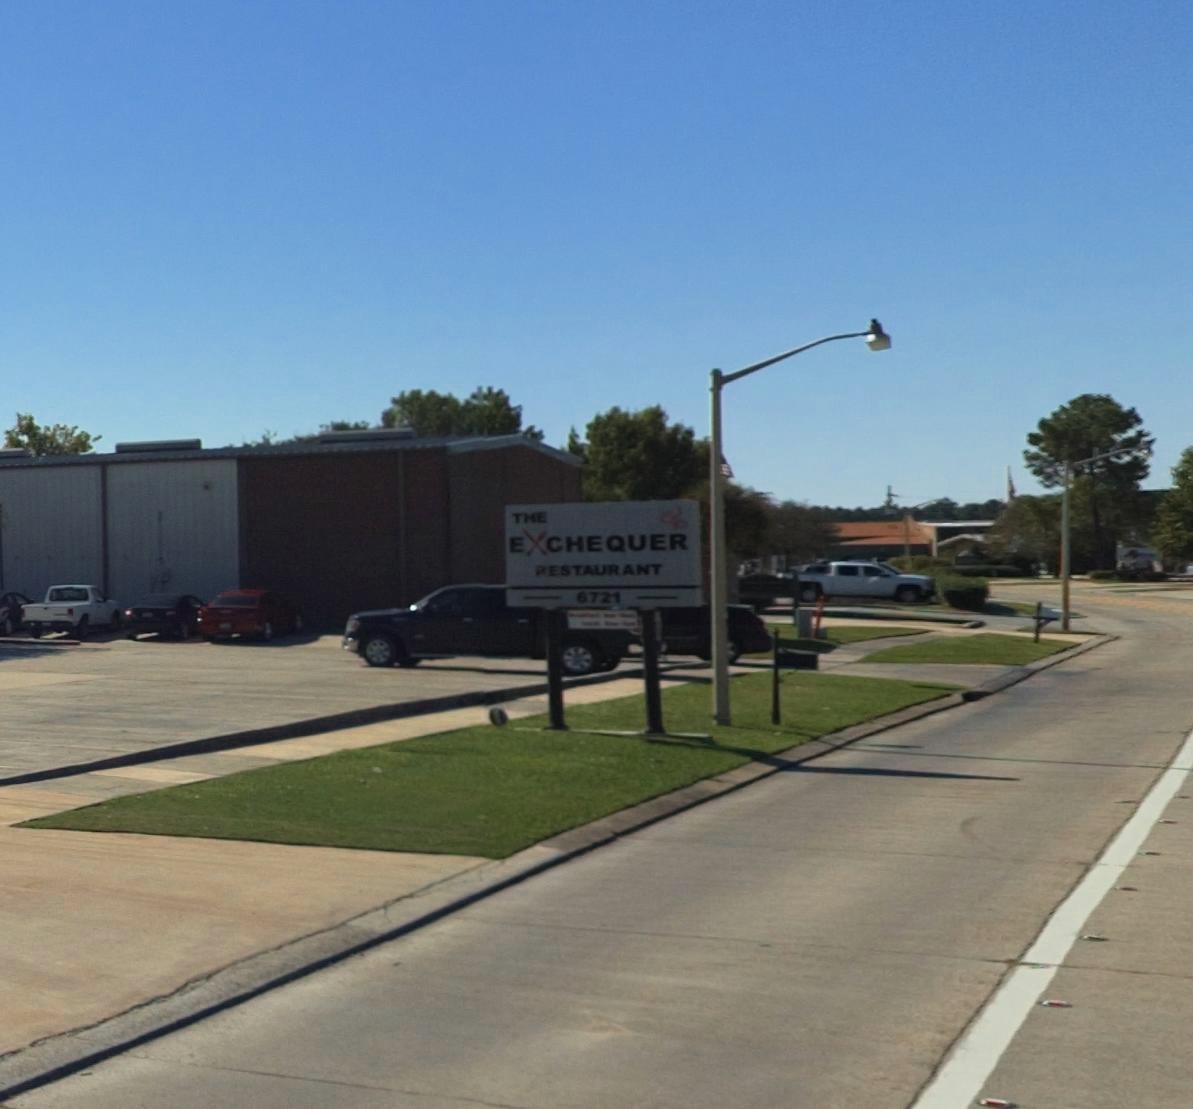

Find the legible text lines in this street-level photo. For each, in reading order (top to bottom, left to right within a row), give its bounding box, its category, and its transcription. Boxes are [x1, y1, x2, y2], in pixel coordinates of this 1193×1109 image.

[509, 508, 551, 526] BusinessName: THE
[506, 526, 691, 559] BusinessName: EXCHEQUER
[533, 561, 665, 579] BusinessName: RESTAURANT
[574, 586, 624, 607] StreetNumber: 6721